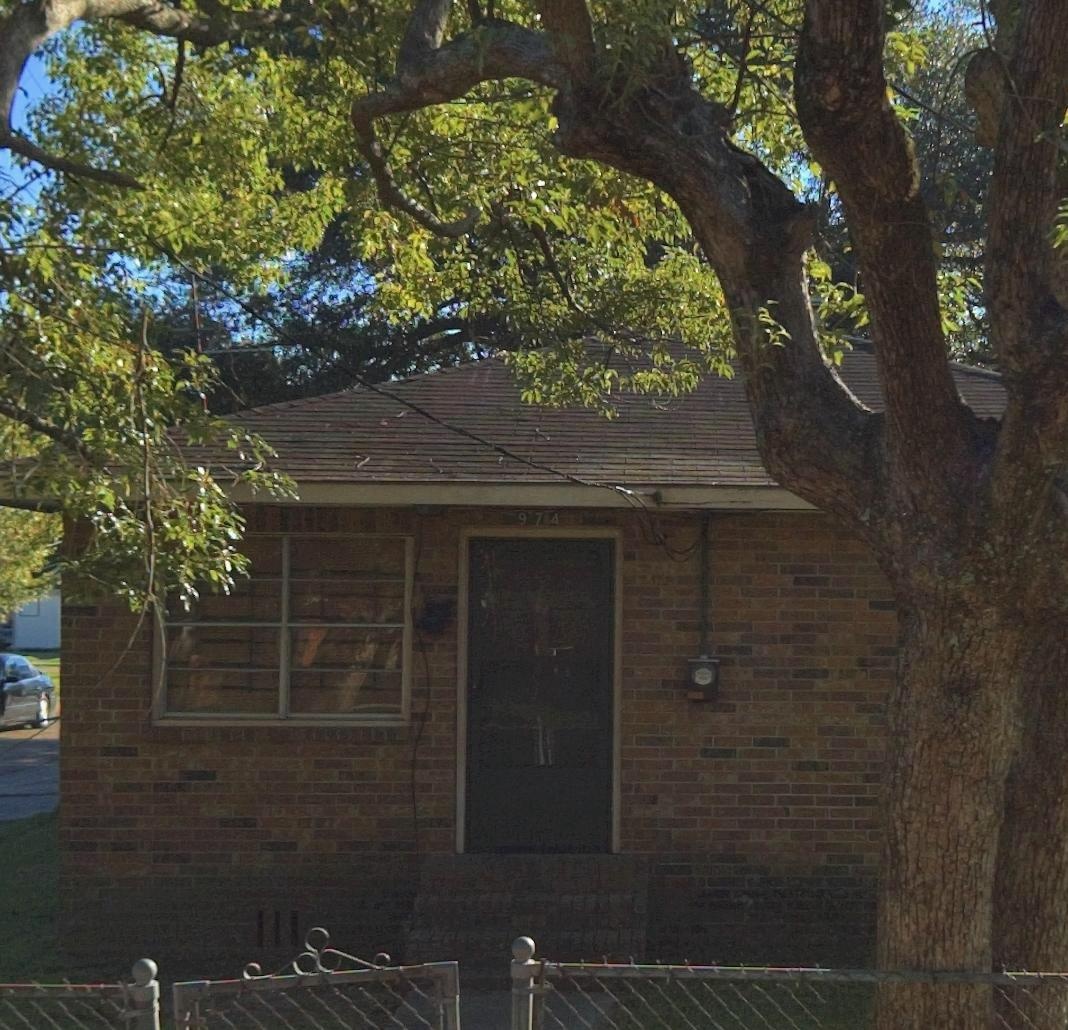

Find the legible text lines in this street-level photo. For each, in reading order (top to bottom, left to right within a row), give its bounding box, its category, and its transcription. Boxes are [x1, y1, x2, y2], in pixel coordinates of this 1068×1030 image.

[516, 510, 561, 529] StreetNumber: 974